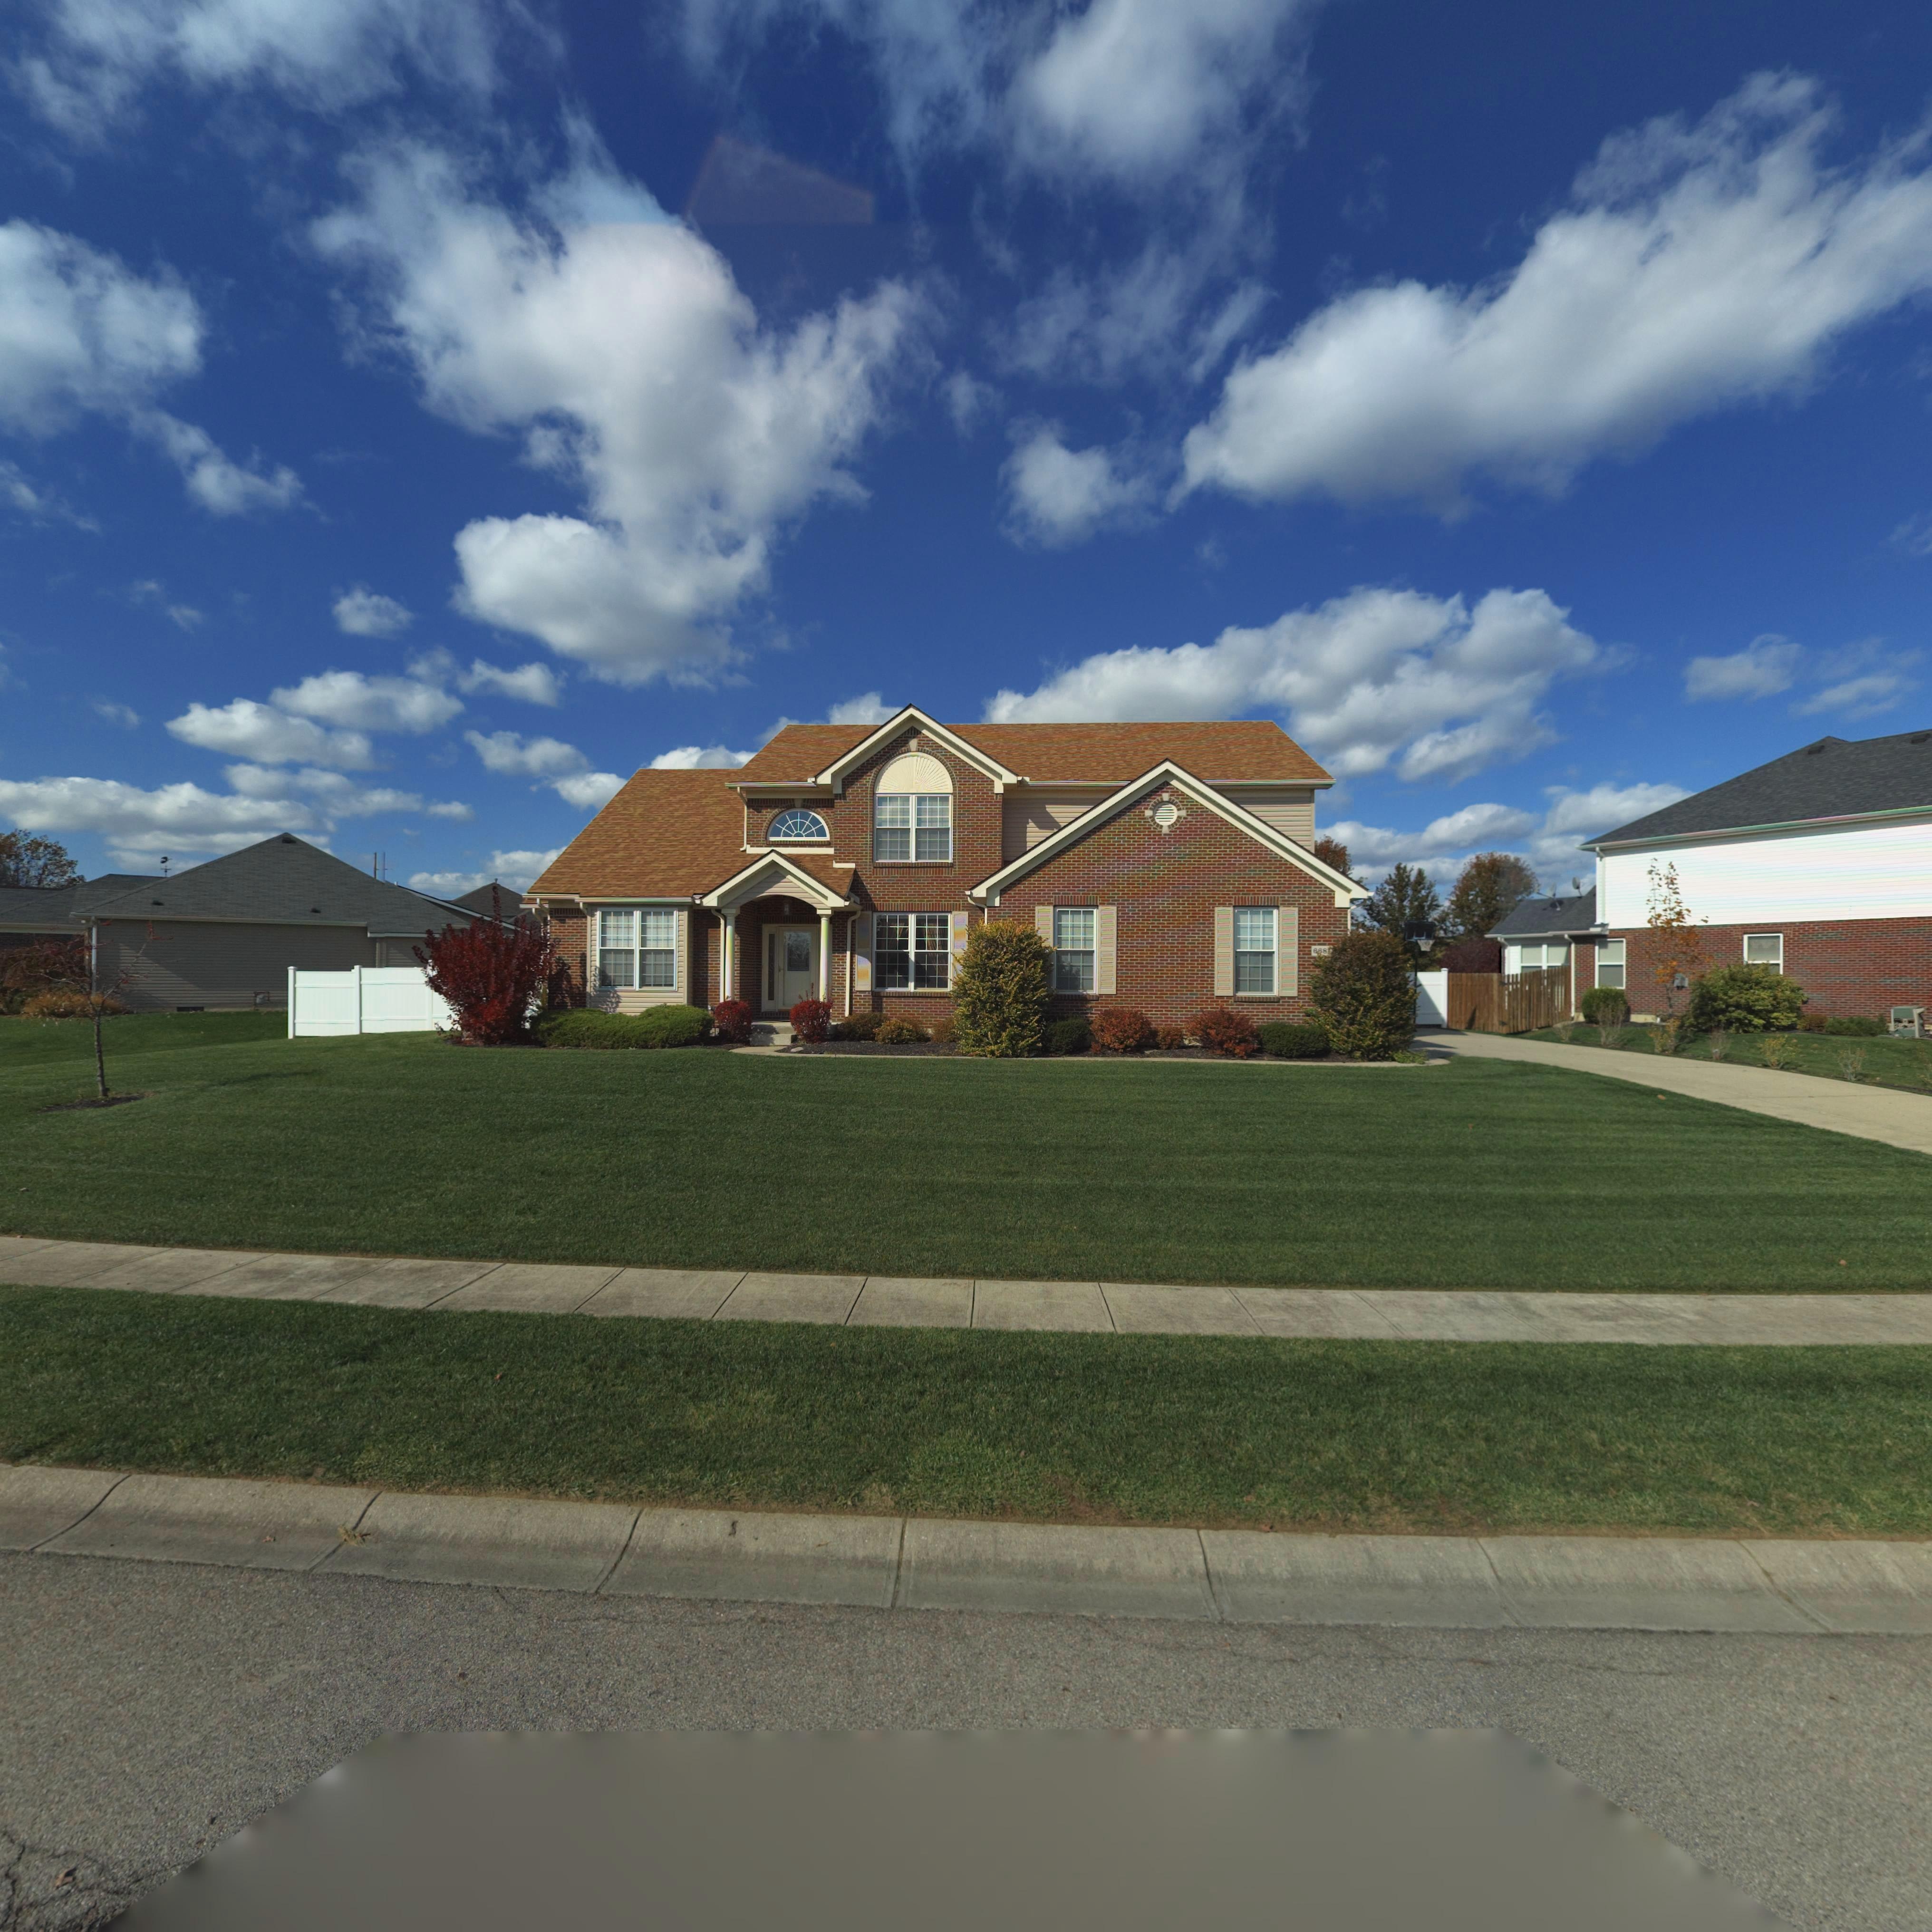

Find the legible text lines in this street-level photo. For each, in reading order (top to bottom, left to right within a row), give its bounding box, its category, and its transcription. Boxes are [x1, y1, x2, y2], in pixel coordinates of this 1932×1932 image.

[1312, 947, 1328, 955] StreetNumber: 6*8